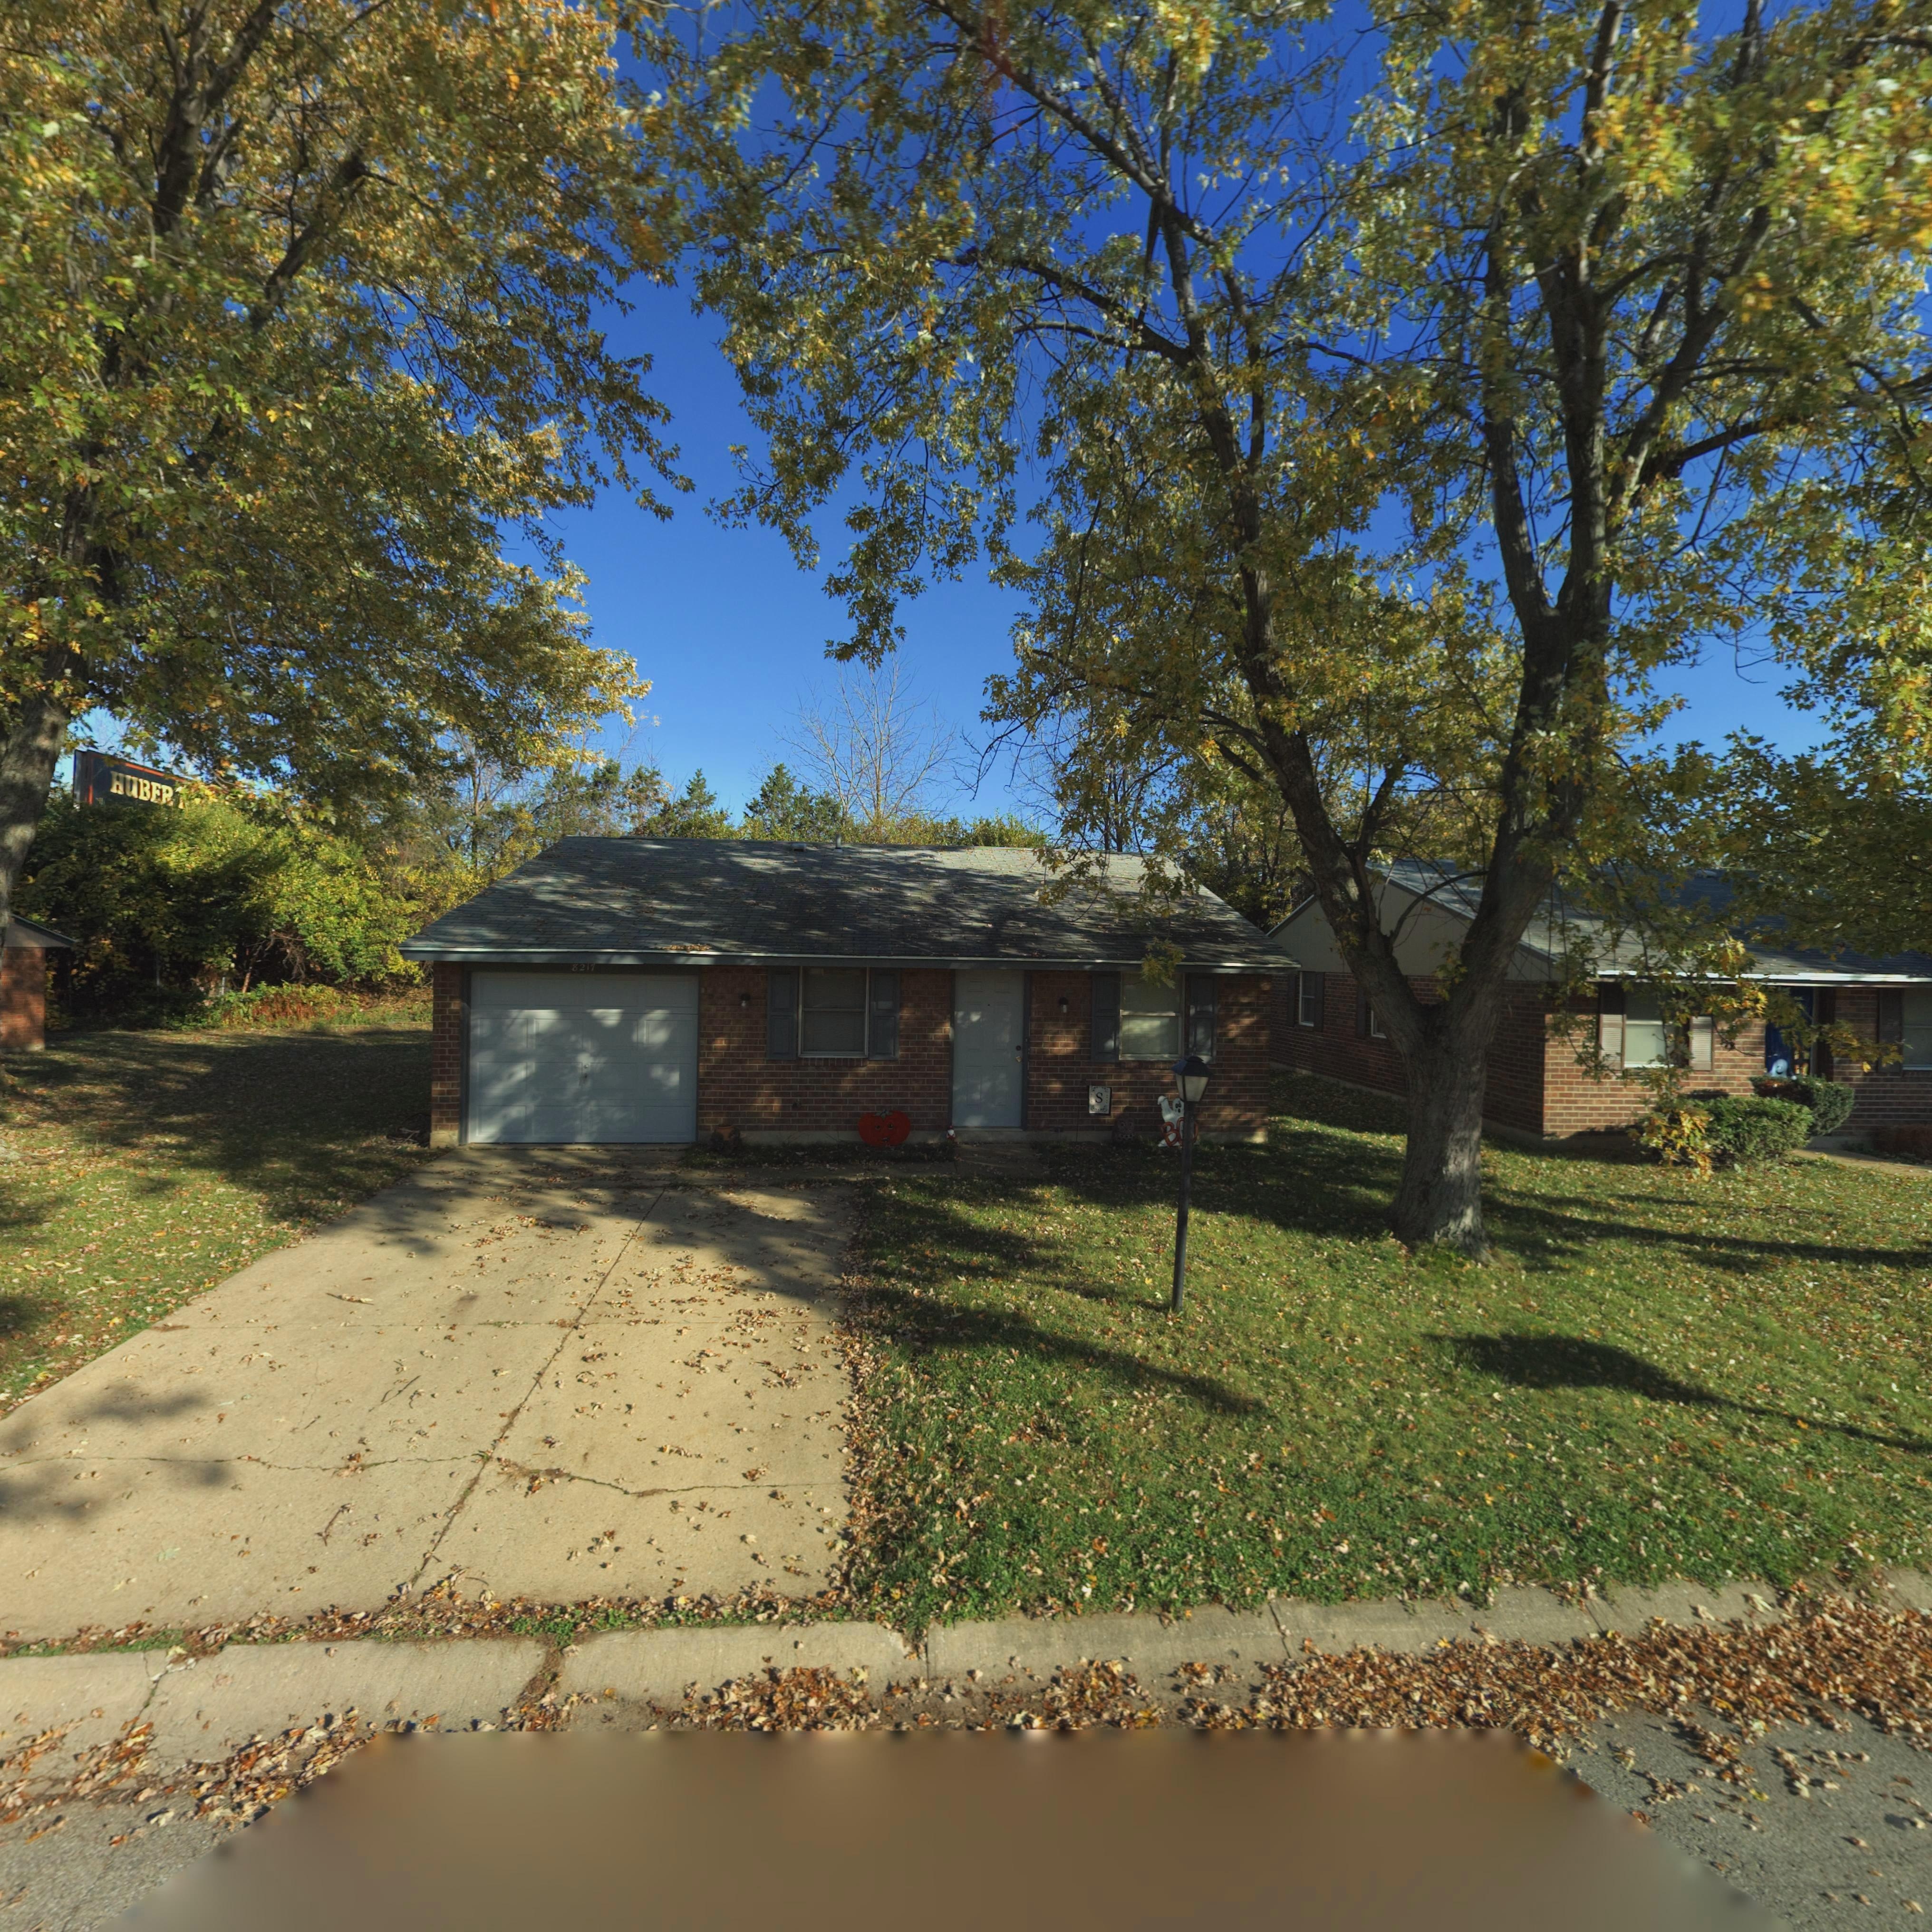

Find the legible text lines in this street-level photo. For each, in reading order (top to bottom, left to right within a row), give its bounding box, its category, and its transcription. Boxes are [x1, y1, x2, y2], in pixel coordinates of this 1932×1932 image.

[571, 963, 597, 972] StreetNumber: 8217